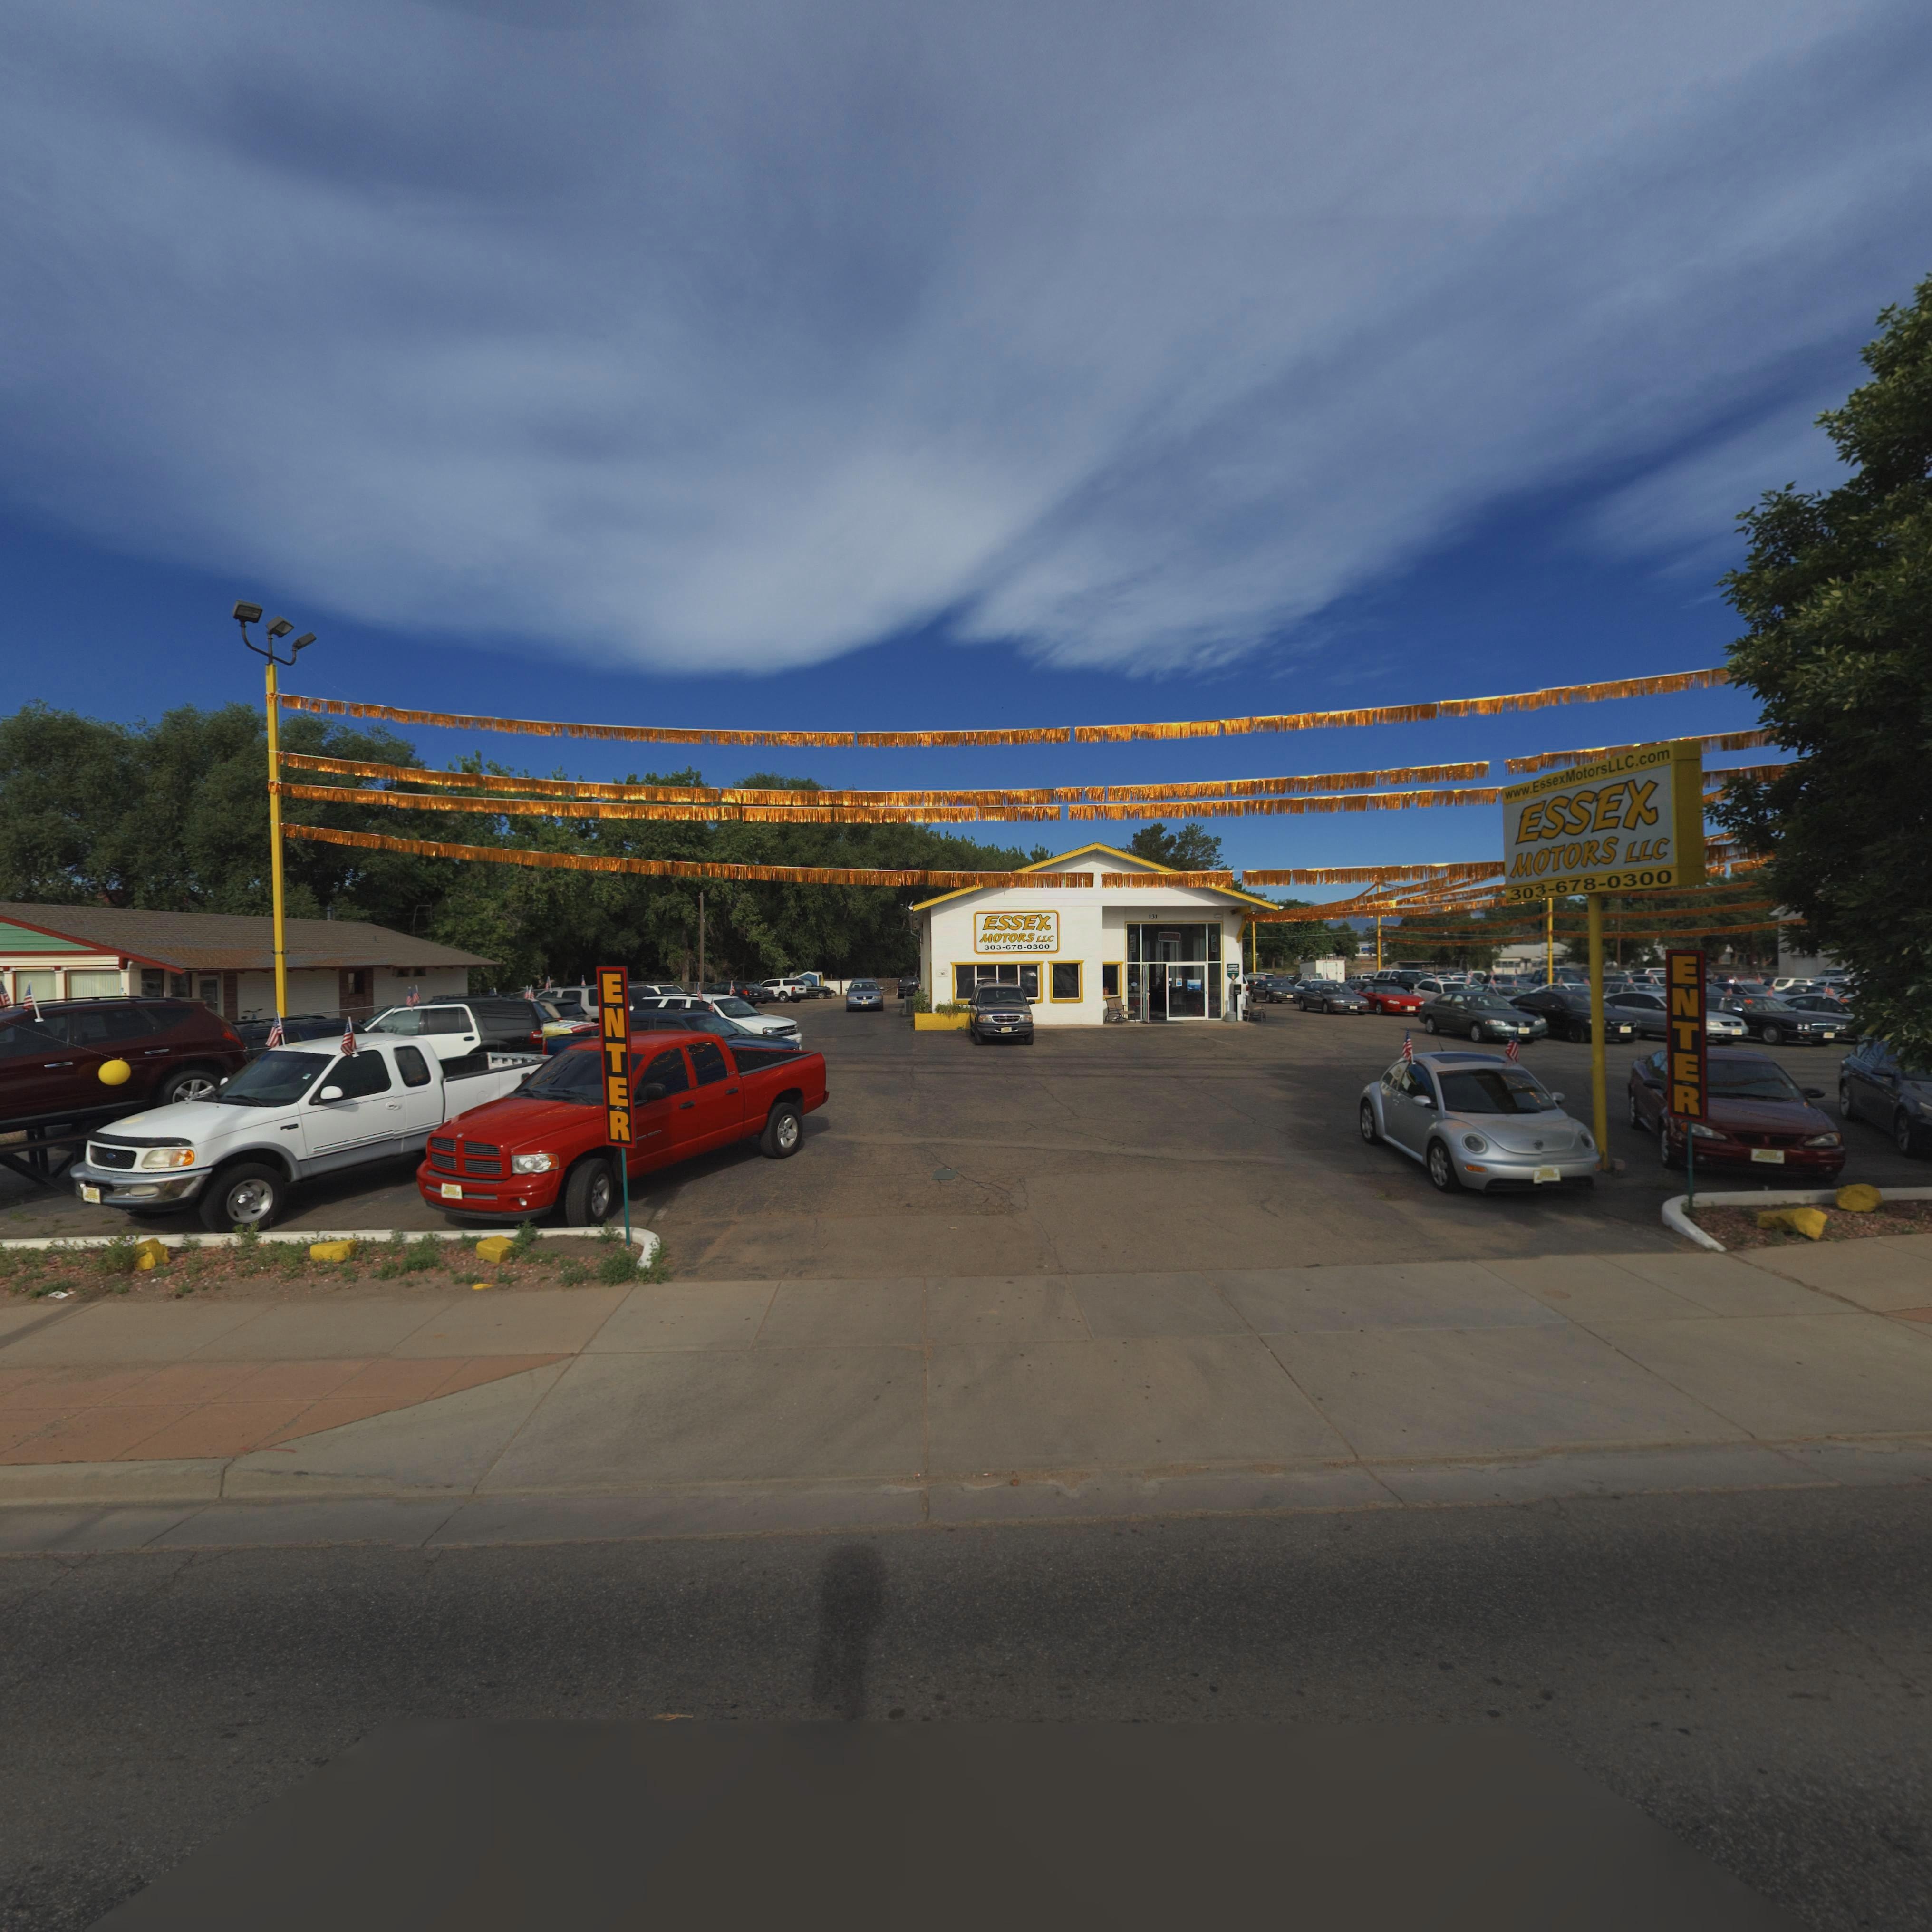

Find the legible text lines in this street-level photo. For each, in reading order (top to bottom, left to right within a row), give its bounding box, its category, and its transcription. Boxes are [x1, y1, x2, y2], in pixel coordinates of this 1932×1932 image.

[1514, 778, 1659, 845] BusinessName: ESSEX
[1509, 835, 1671, 879] BusinessName: MOTORS LLC
[982, 914, 1051, 931] BusinessName: ESSEX
[1148, 914, 1157, 919] StreetNumber: 131
[978, 932, 1054, 943] BusinessName: MOTORS LLC